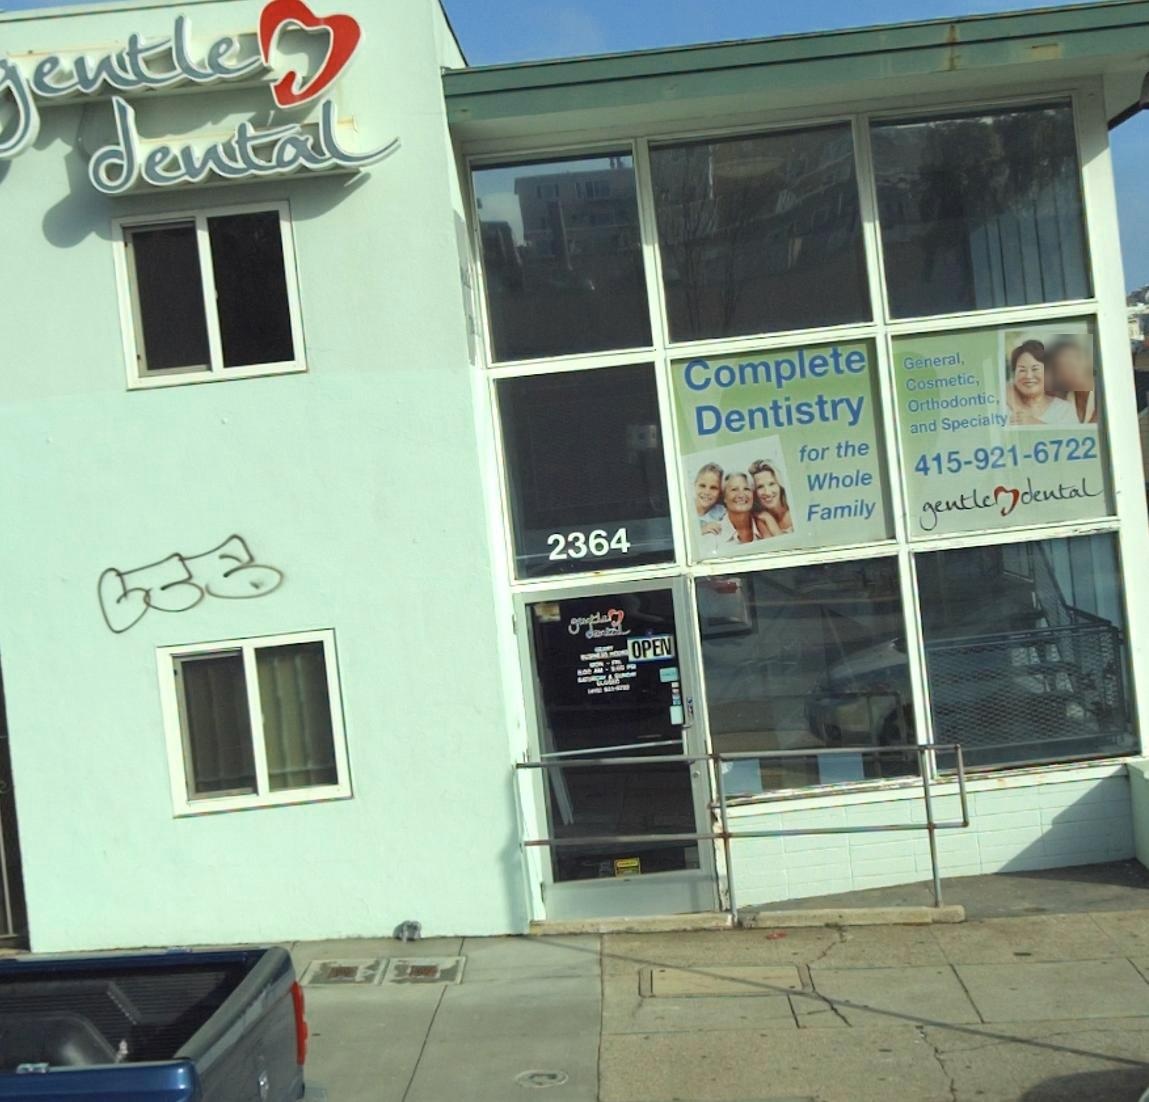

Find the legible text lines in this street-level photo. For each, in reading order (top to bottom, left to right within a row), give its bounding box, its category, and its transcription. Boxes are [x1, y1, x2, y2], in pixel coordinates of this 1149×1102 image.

[26, 12, 263, 100] BusinessName: entle
[86, 94, 384, 197] BusinessName: dental
[681, 343, 870, 396] None: Complete
[900, 349, 962, 374] None: General
[903, 370, 979, 395] None: Cosmetic
[690, 390, 868, 439] None: Dentistry
[905, 388, 998, 416] None: Orthodontic
[906, 410, 1010, 436] None: and Specialty
[796, 437, 873, 466] None: for the
[911, 433, 1101, 480] None: 415-921-6722
[802, 466, 876, 495] None: Whole
[804, 496, 880, 524] None: Family
[916, 474, 1108, 535] BusinessName: gentle * dental
[545, 525, 633, 563] StreetNumber: 2364
[629, 635, 673, 662] None: OPEN